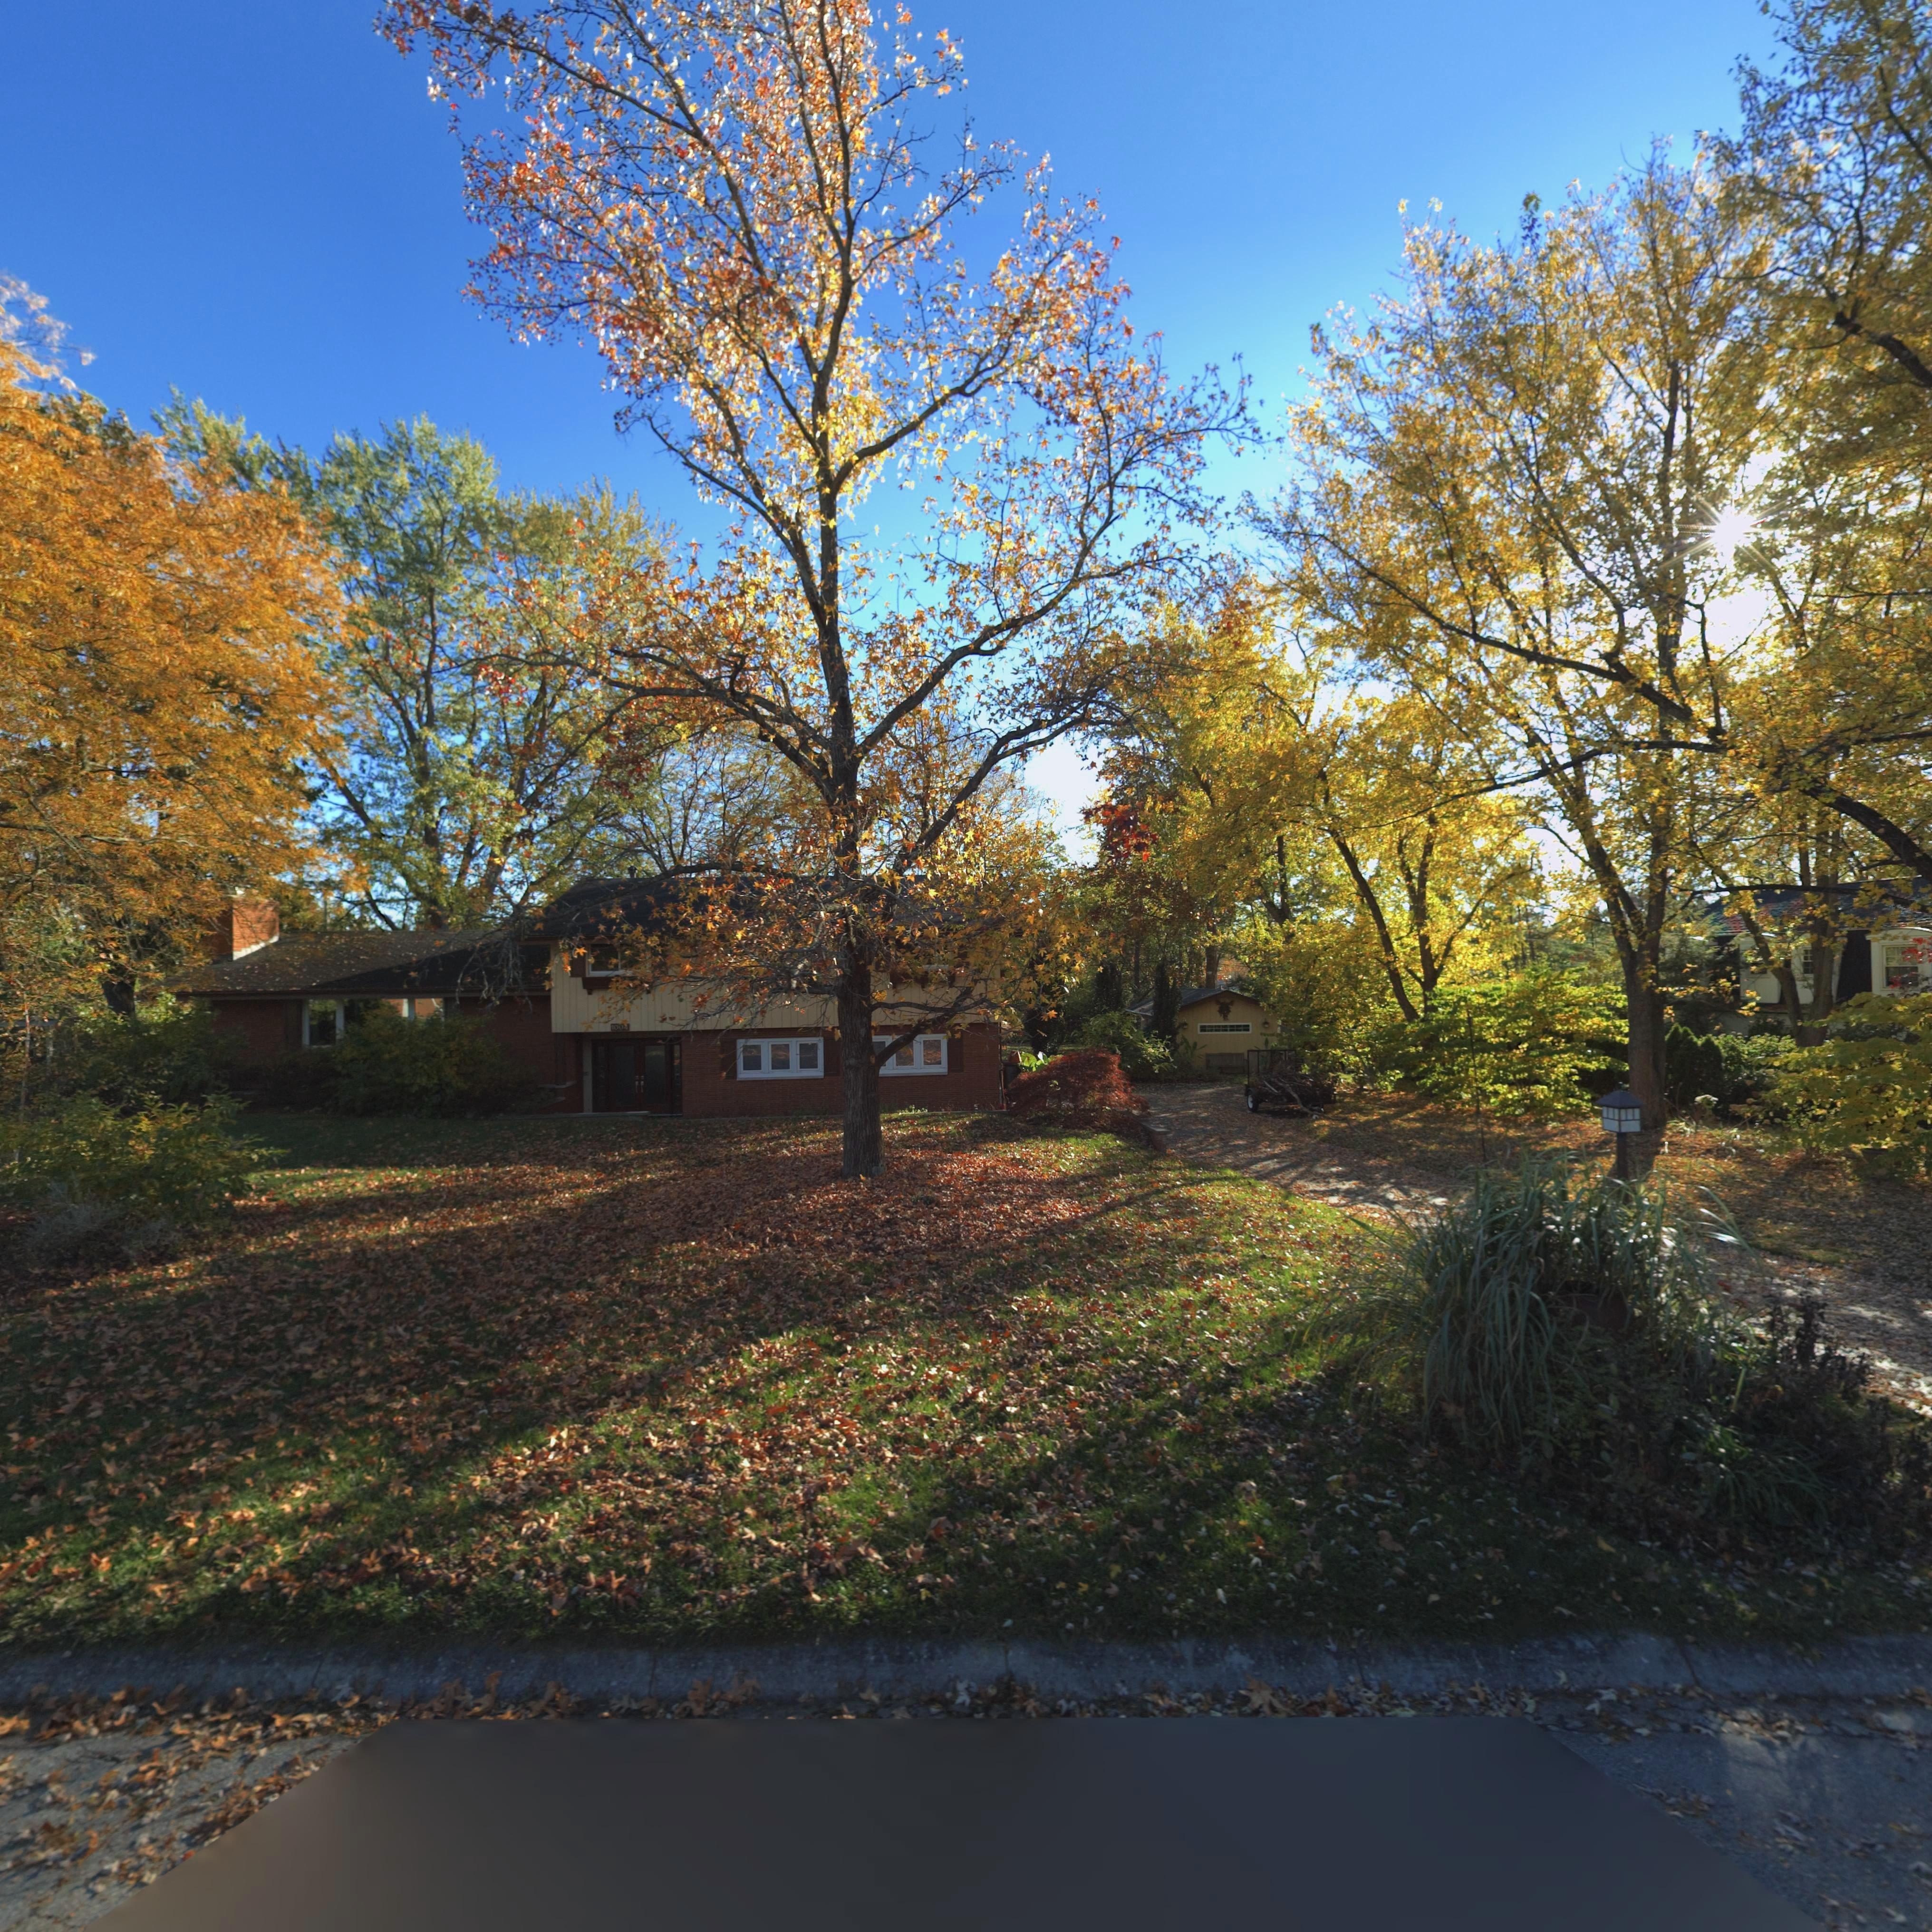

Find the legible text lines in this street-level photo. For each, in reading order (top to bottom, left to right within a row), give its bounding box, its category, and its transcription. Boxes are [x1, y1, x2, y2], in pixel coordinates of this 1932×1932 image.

[610, 1024, 629, 1031] StreetNumber: 100*